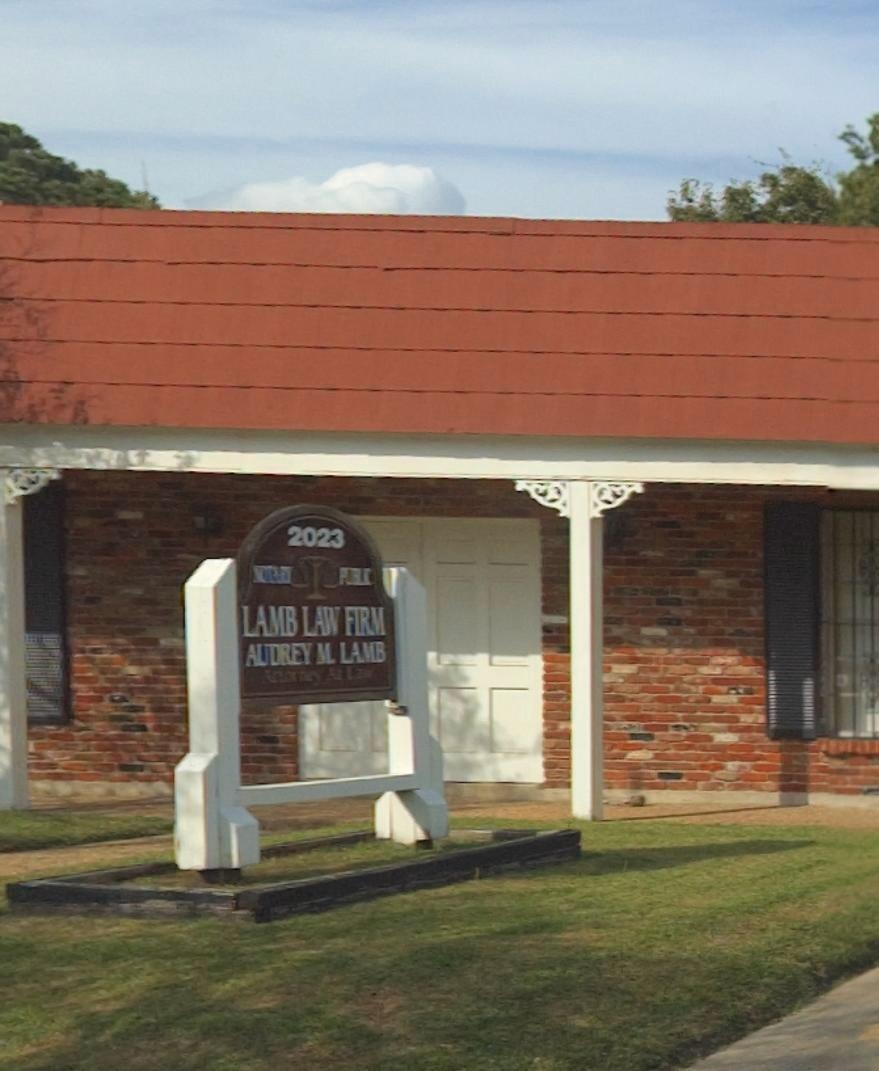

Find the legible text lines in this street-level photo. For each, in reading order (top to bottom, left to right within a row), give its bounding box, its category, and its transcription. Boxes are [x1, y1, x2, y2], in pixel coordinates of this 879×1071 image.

[285, 523, 347, 550] StreetNumber: 2023
[251, 560, 298, 588] None: NOTARY
[335, 562, 375, 587] None: PUBLIC
[238, 601, 389, 641] BusinessName: LAMB LAW FIRM
[239, 638, 392, 669] None: AUDREY M. LAMB
[259, 664, 379, 687] None: Attorney At Law